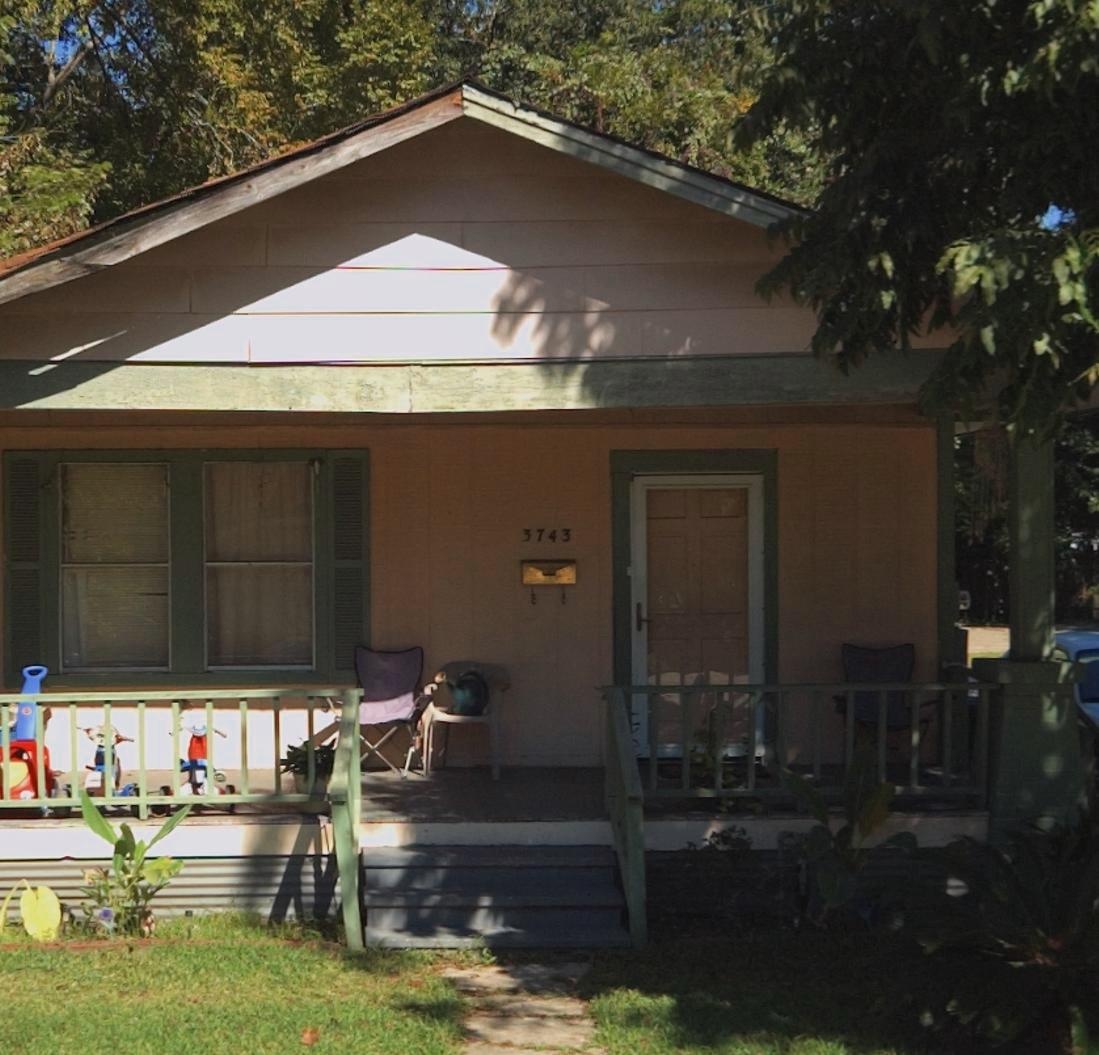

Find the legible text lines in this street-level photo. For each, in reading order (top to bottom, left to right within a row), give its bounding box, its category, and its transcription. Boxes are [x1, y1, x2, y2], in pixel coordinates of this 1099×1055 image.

[522, 528, 571, 543] StreetNumber: 3743